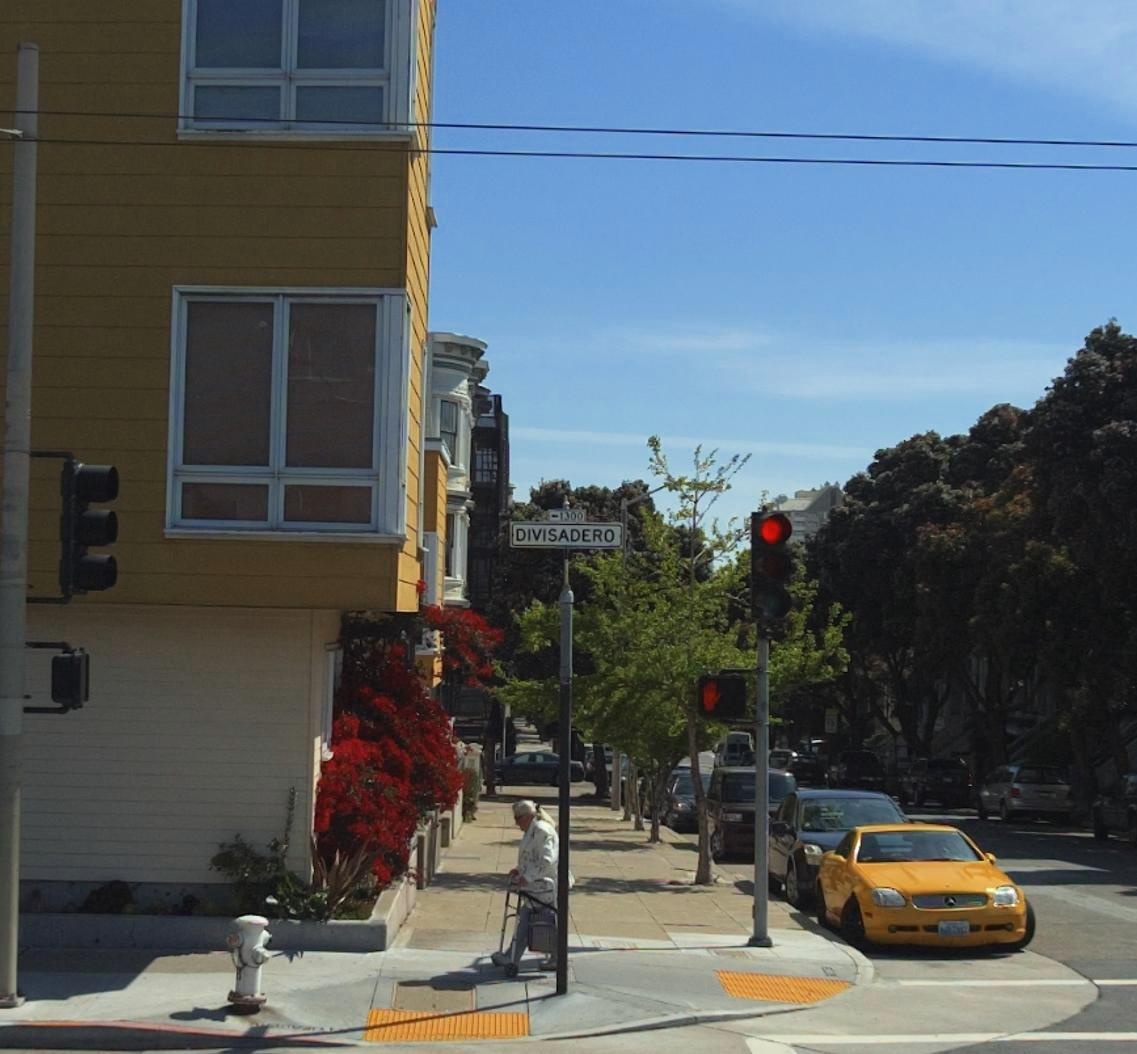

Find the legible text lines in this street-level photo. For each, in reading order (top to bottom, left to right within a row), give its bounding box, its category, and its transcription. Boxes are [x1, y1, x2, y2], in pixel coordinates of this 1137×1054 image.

[547, 507, 584, 522] StreetNumberRange: <-1300
[515, 526, 615, 543] StreetName: DIVISADERO